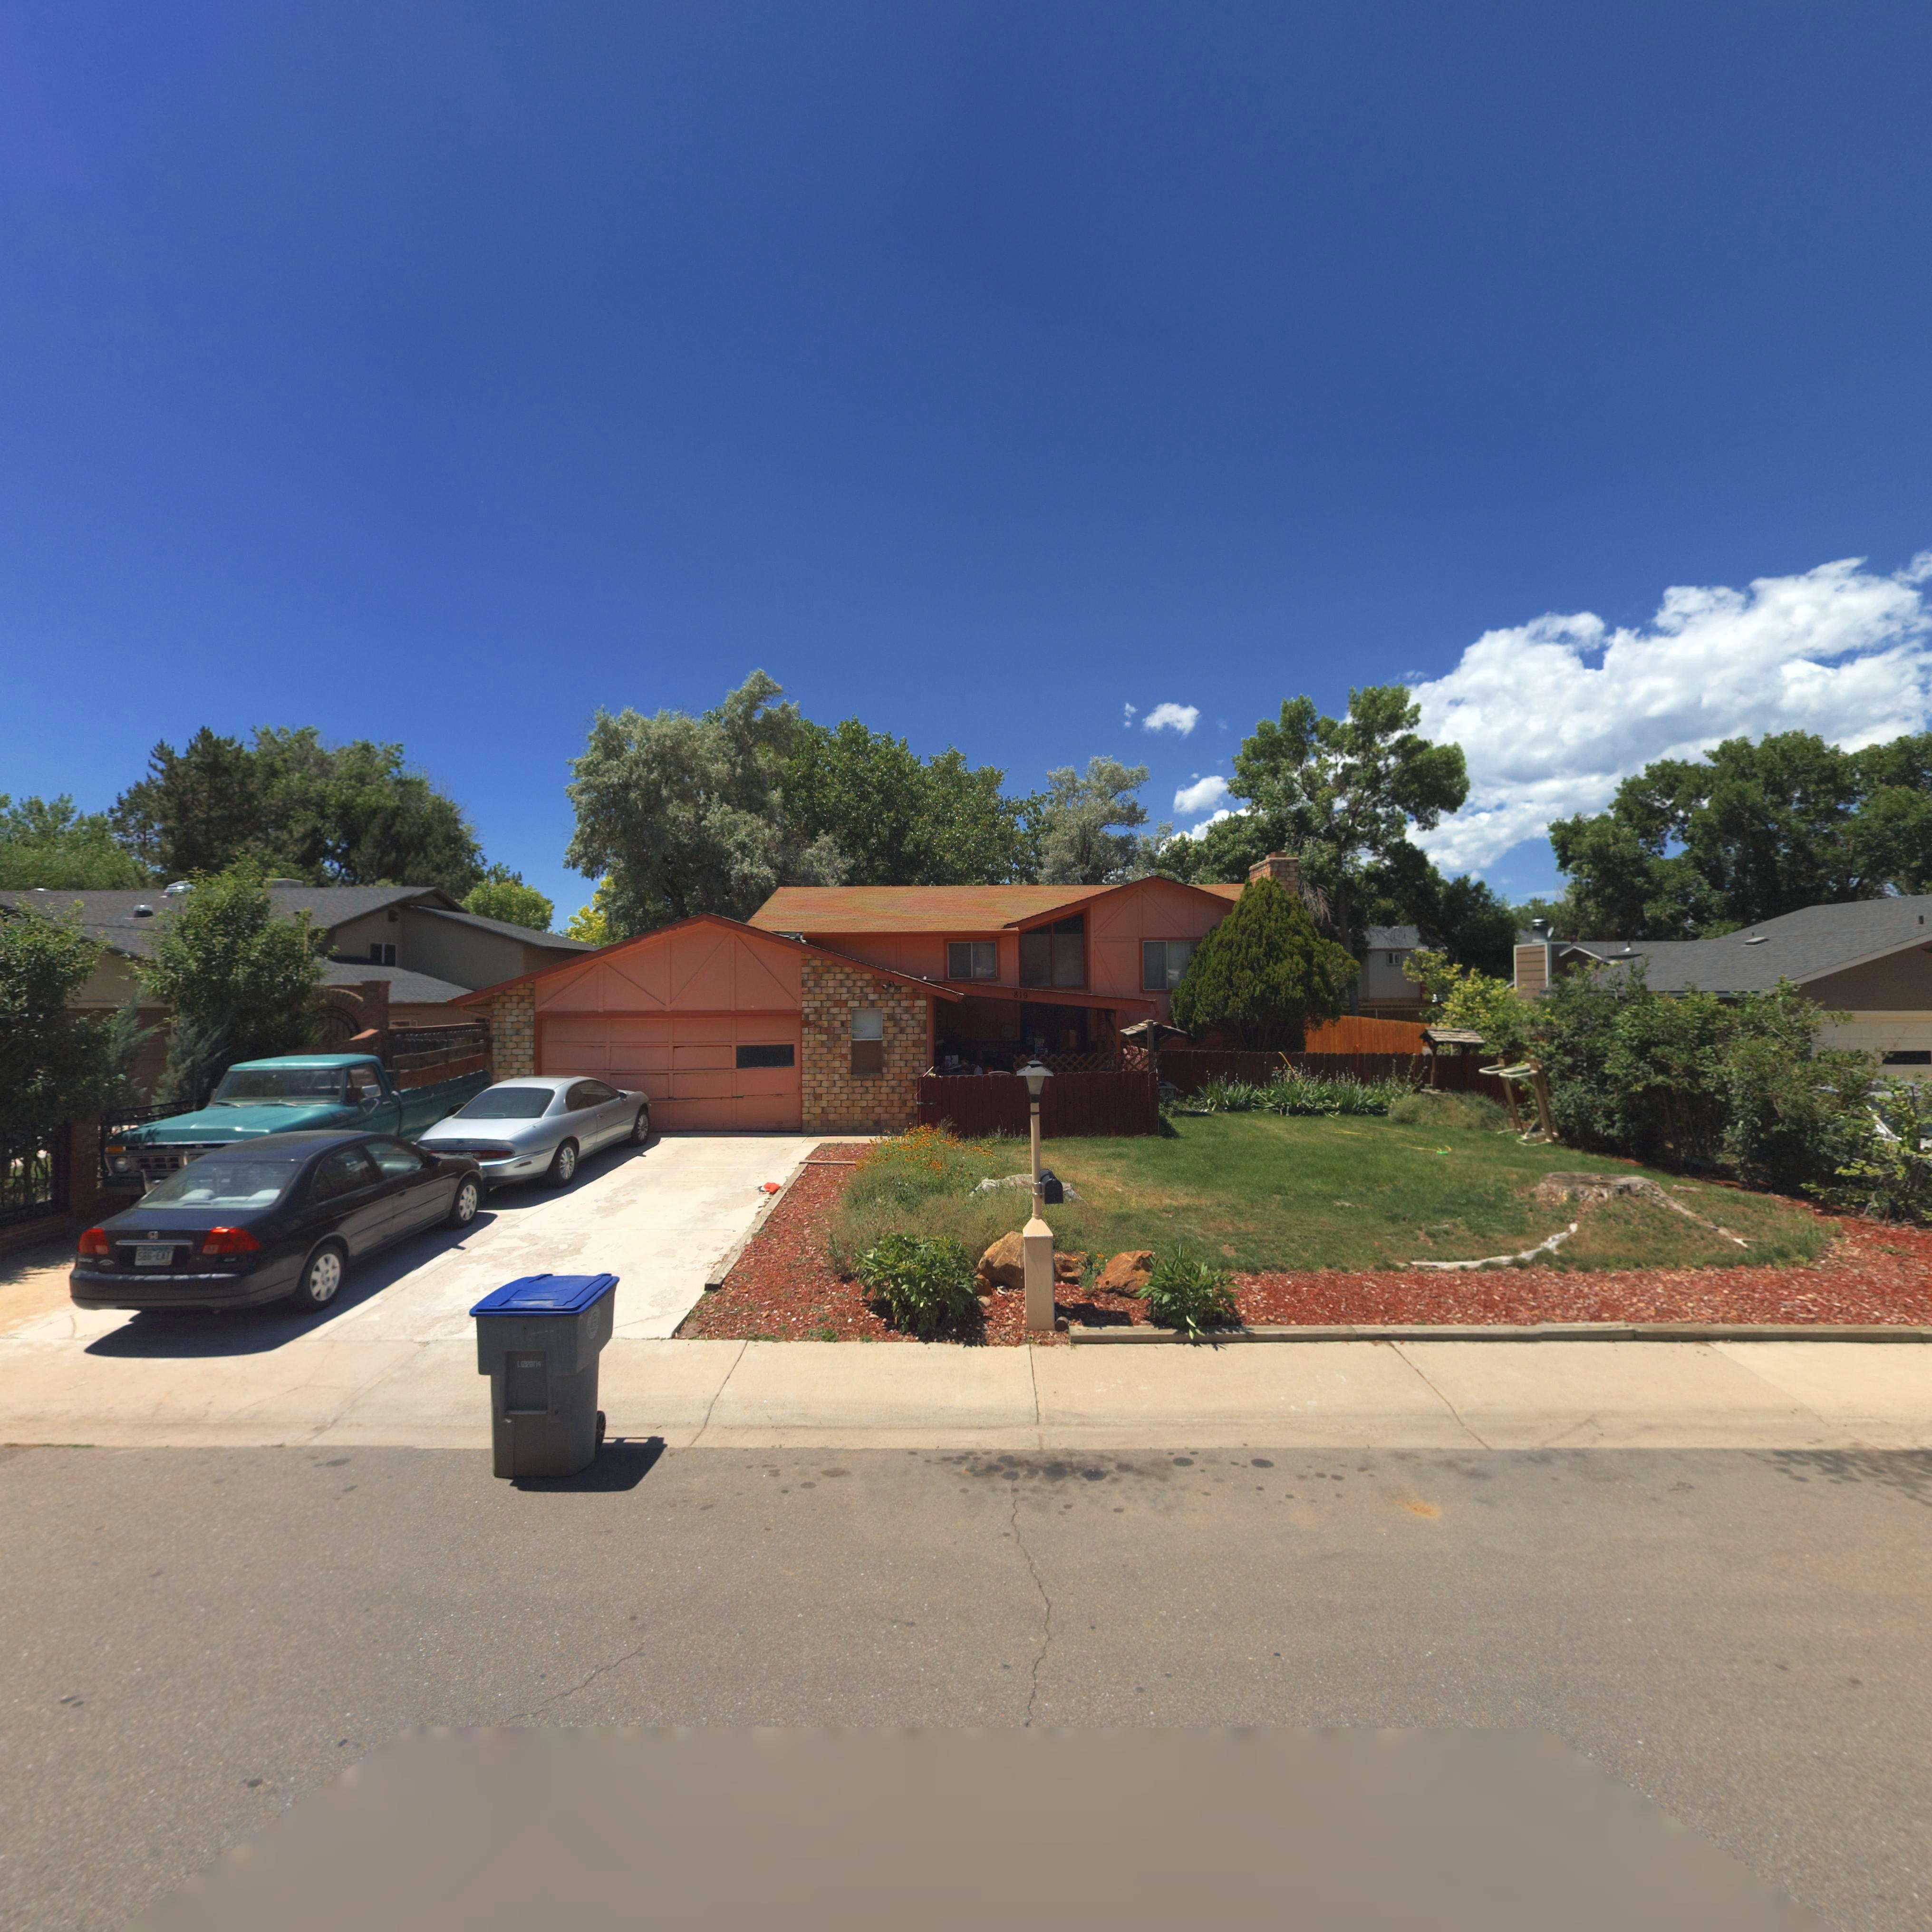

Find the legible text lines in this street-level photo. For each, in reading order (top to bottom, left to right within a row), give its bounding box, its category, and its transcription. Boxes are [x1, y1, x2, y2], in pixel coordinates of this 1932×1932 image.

[1014, 991, 1029, 1000] StreetNumber: 819